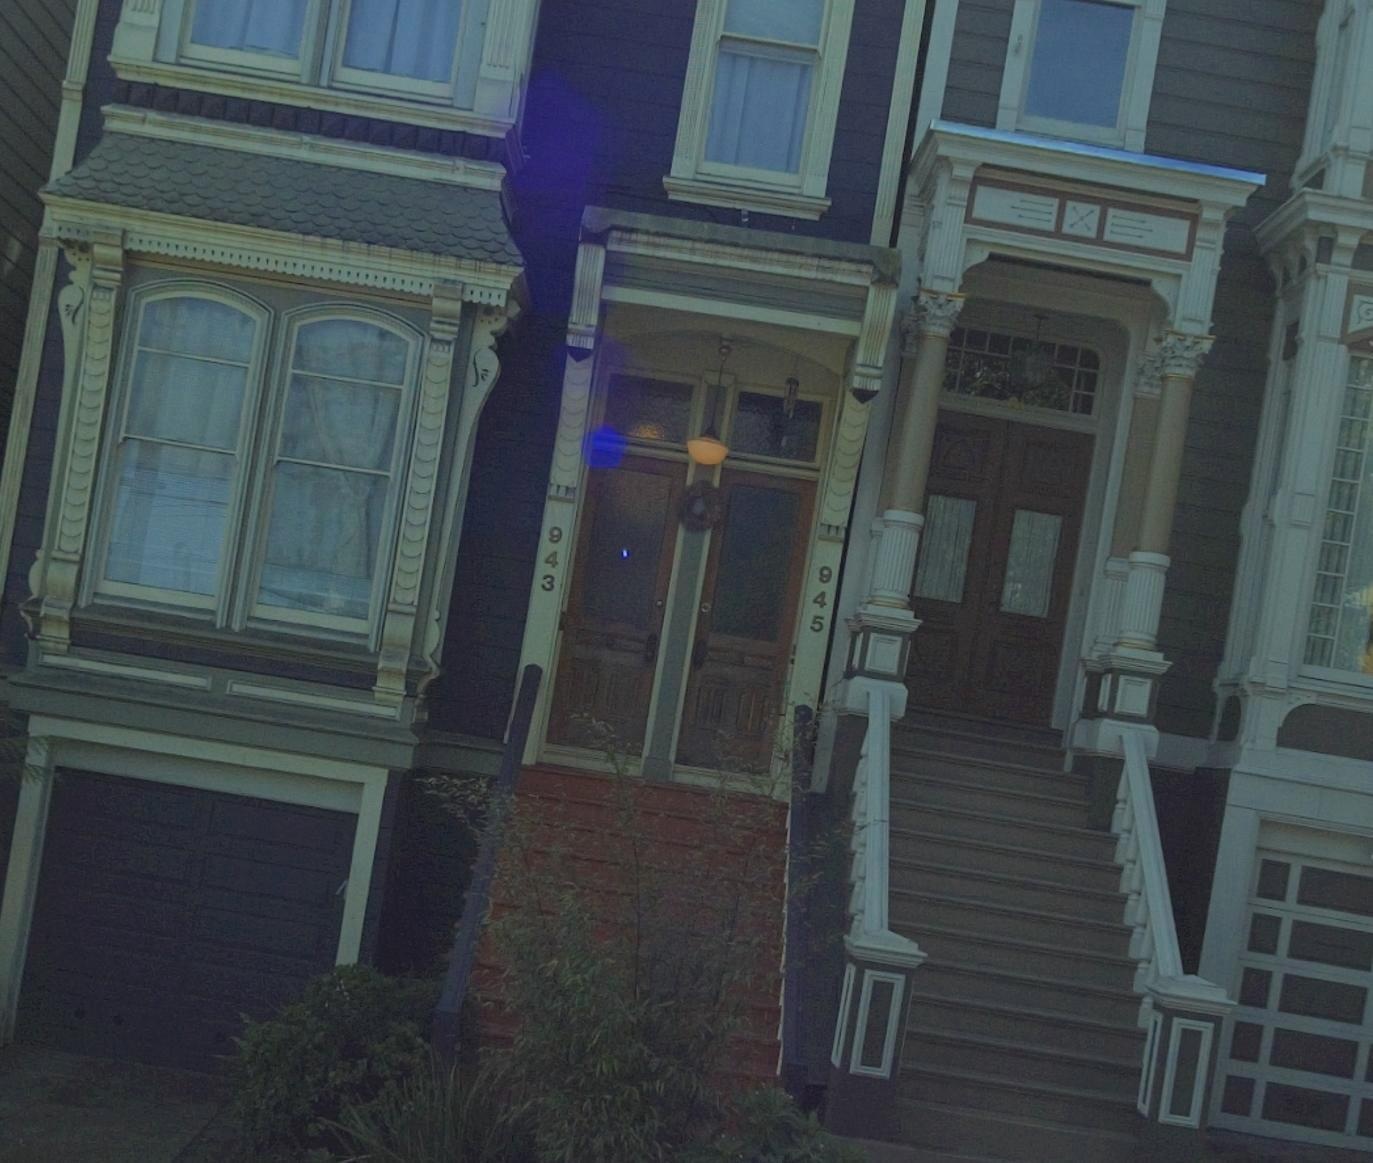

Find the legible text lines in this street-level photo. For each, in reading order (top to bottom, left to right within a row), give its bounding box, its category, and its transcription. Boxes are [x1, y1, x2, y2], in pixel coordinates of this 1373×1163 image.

[537, 522, 566, 595] StreetNumber: 943
[805, 562, 836, 636] StreetNumber: 945